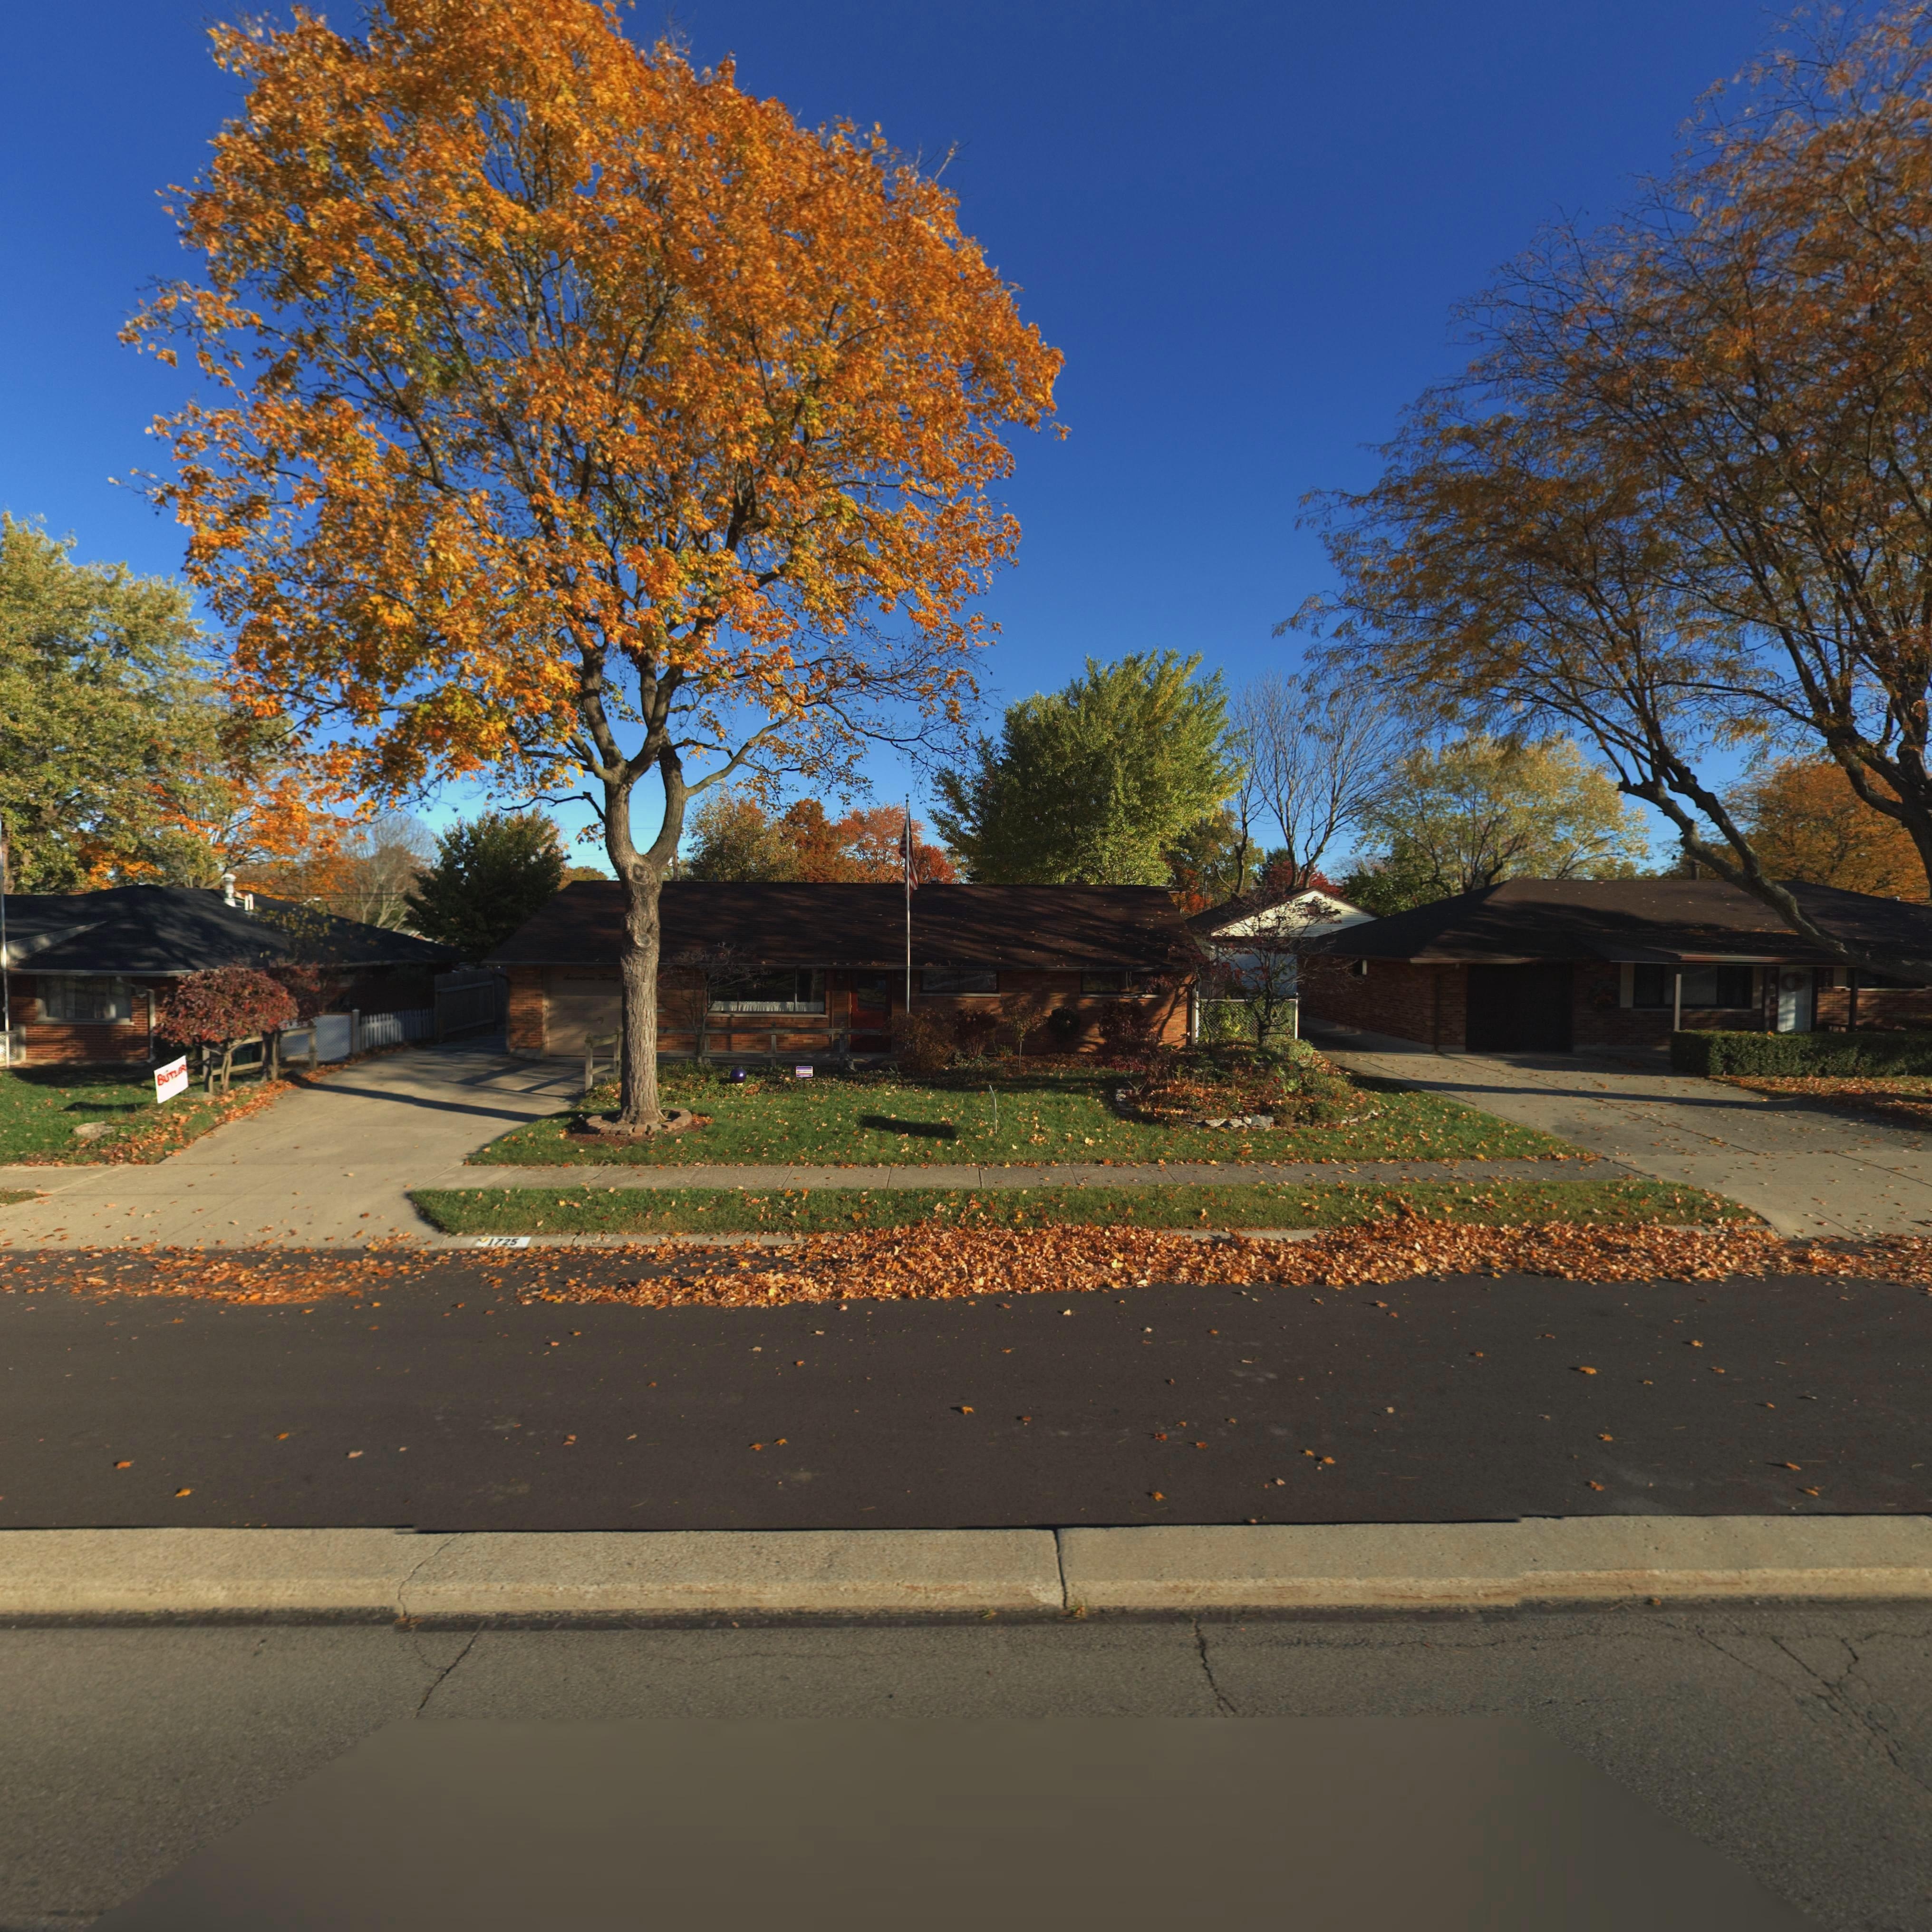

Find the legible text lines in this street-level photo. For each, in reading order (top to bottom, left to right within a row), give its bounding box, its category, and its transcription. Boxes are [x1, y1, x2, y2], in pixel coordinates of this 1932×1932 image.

[155, 1063, 187, 1087] None: BUTLER
[486, 1237, 520, 1246] StreetNumber: 1725